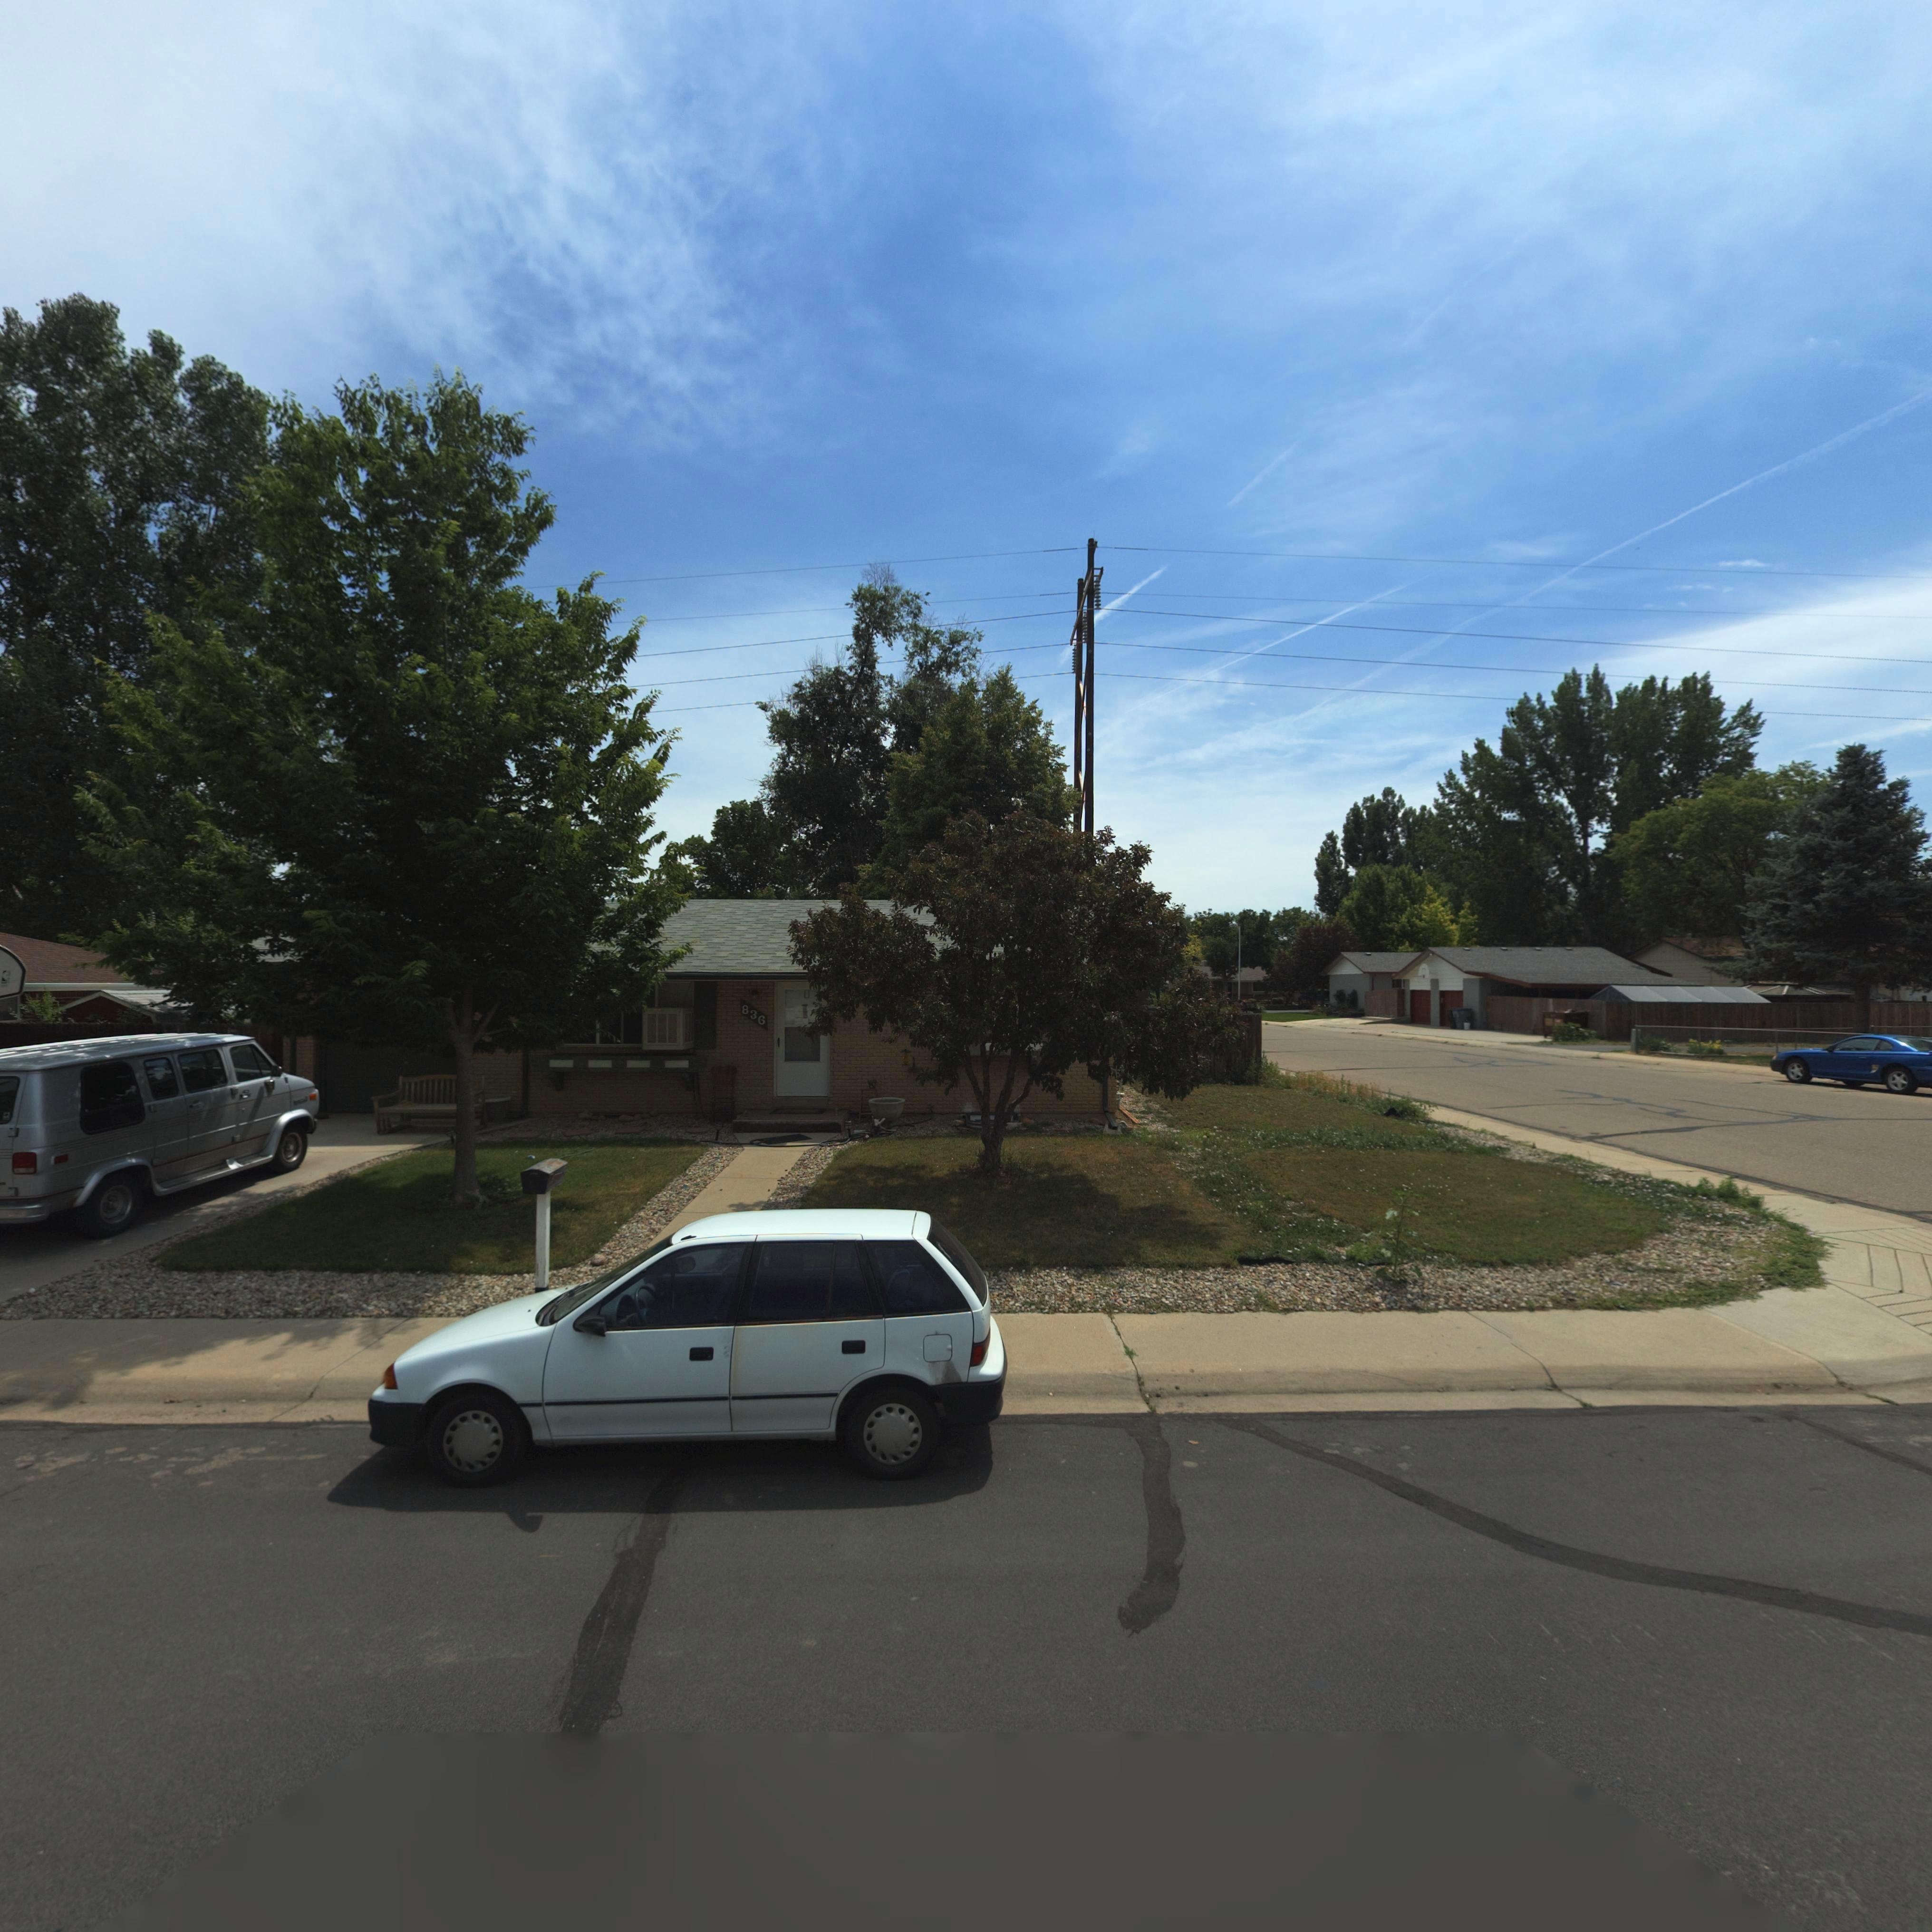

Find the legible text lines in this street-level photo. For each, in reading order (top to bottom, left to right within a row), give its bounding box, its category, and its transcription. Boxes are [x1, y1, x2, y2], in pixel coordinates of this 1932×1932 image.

[742, 1005, 765, 1025] StreetNumber: 836